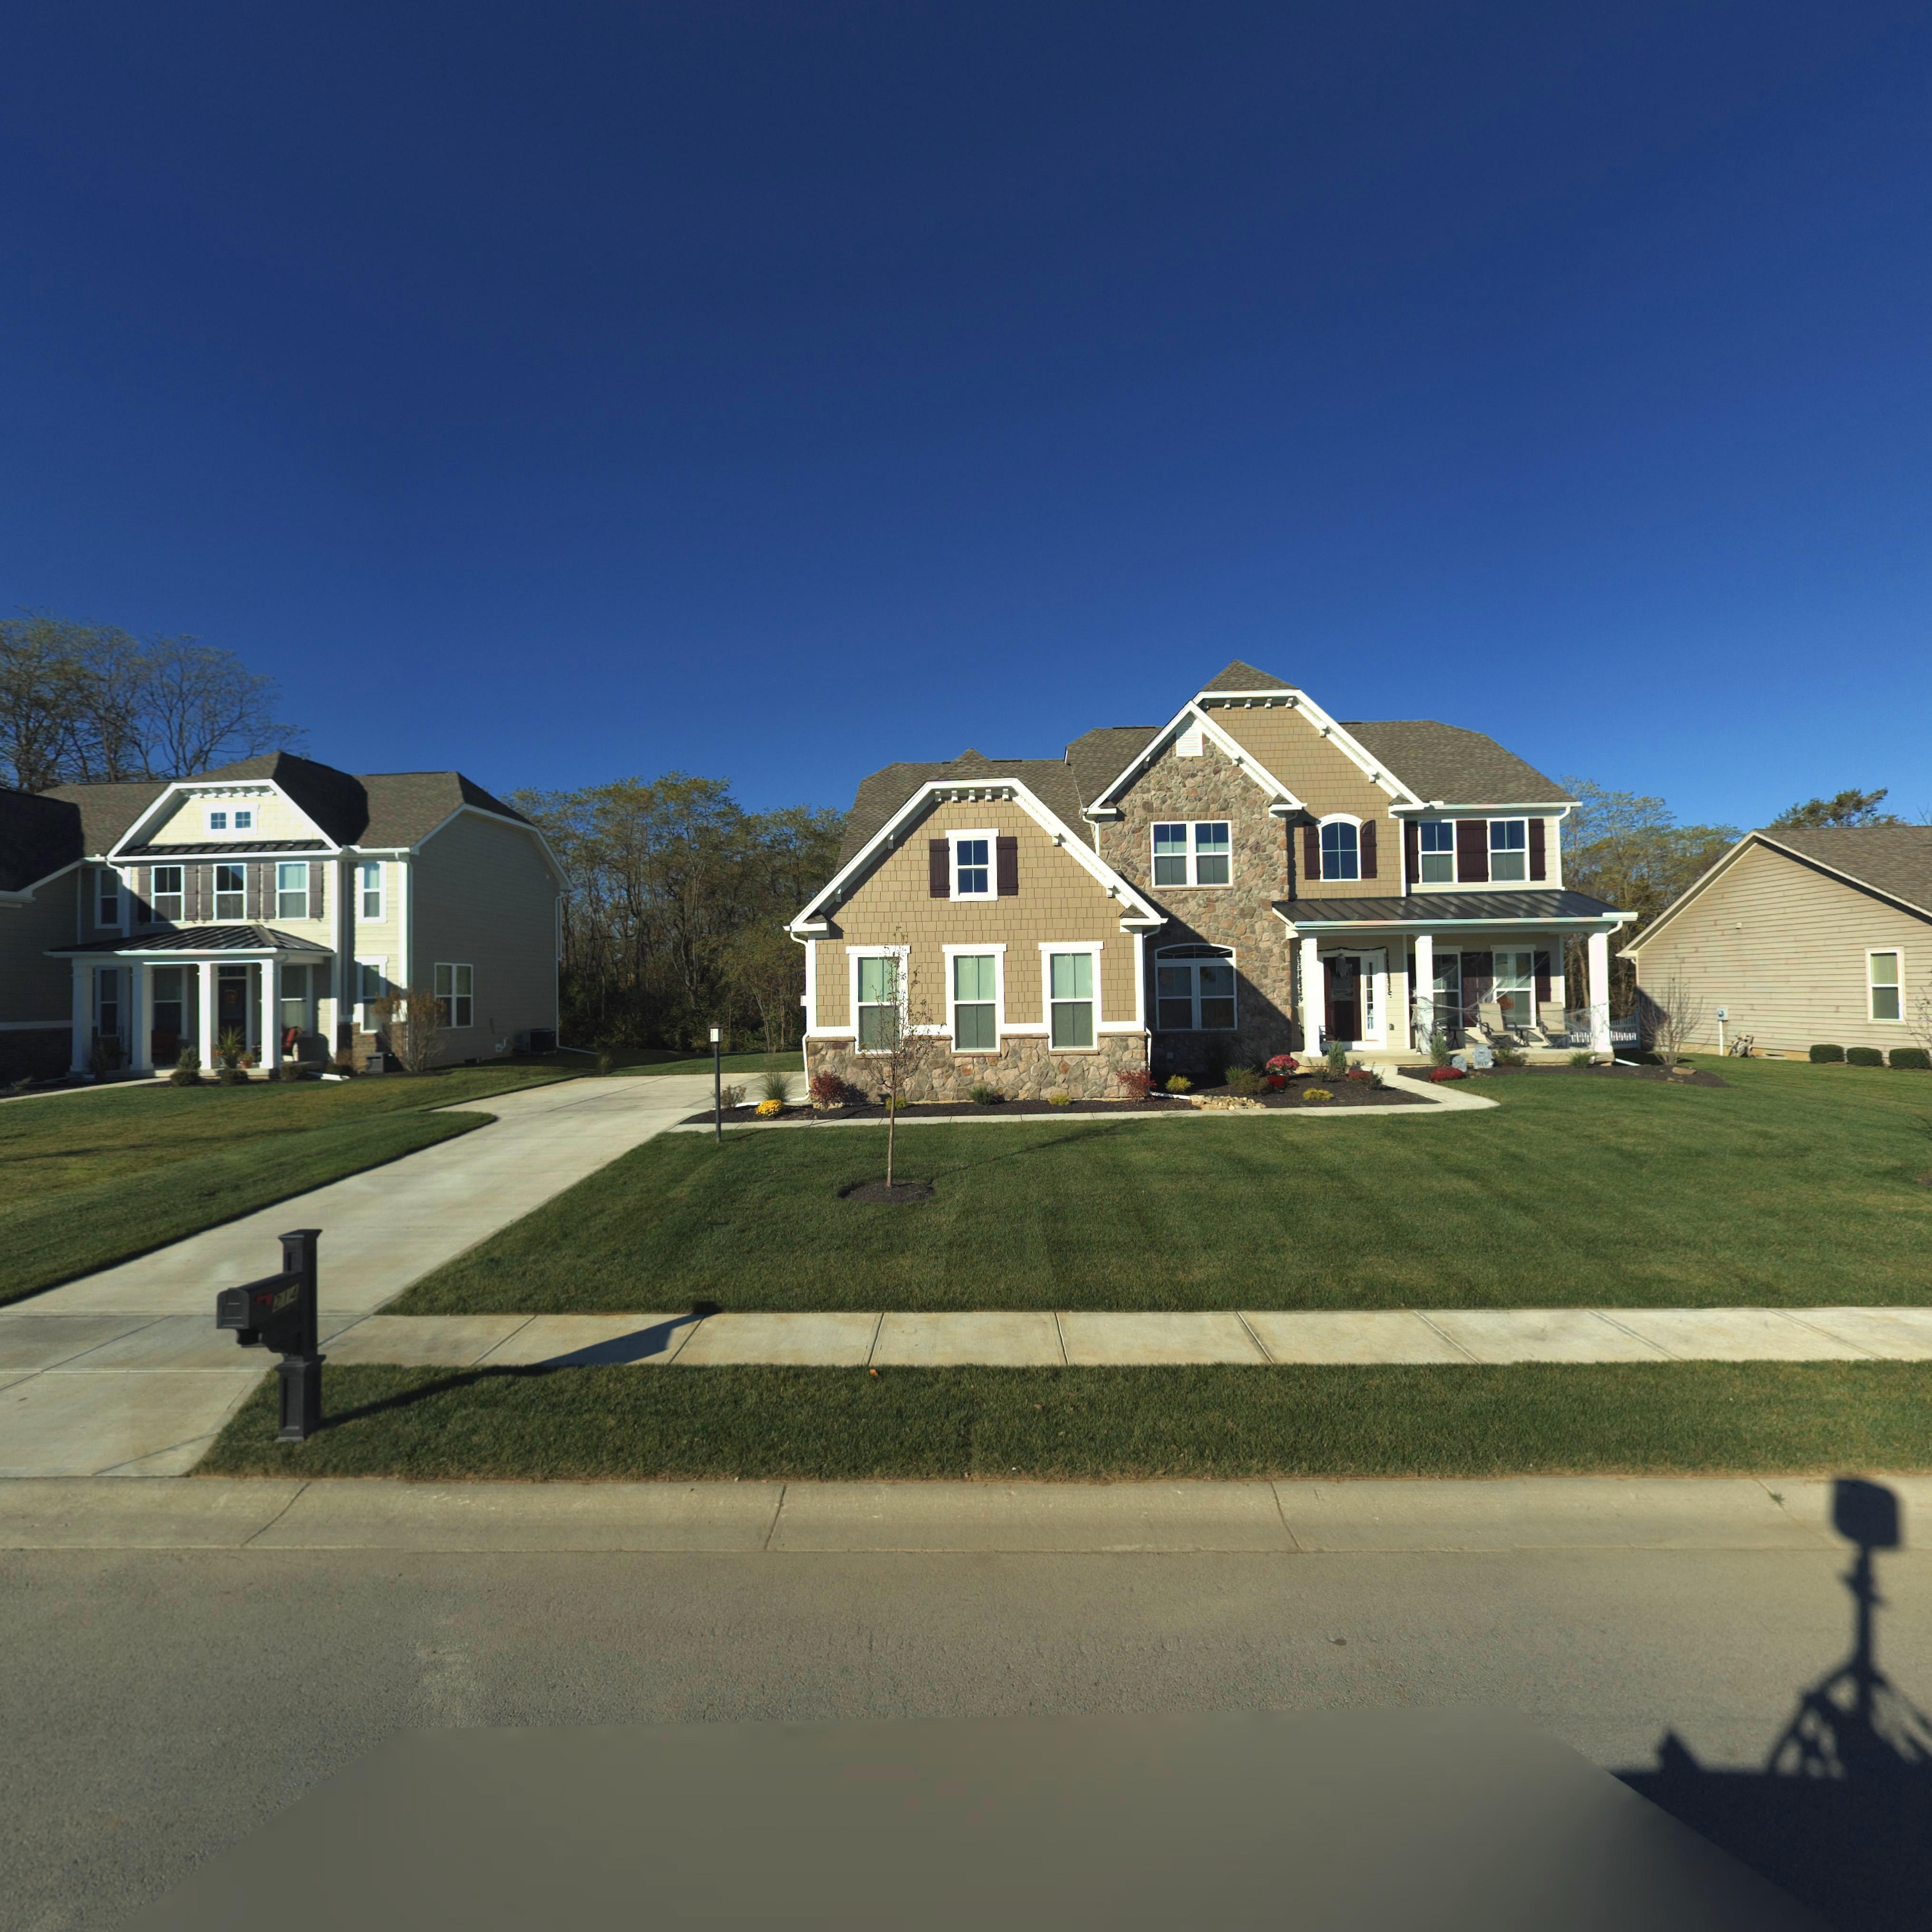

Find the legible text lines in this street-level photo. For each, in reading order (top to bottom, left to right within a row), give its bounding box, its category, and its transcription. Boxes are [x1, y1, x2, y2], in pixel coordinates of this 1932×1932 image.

[273, 1284, 298, 1312] StreetNumber: 214